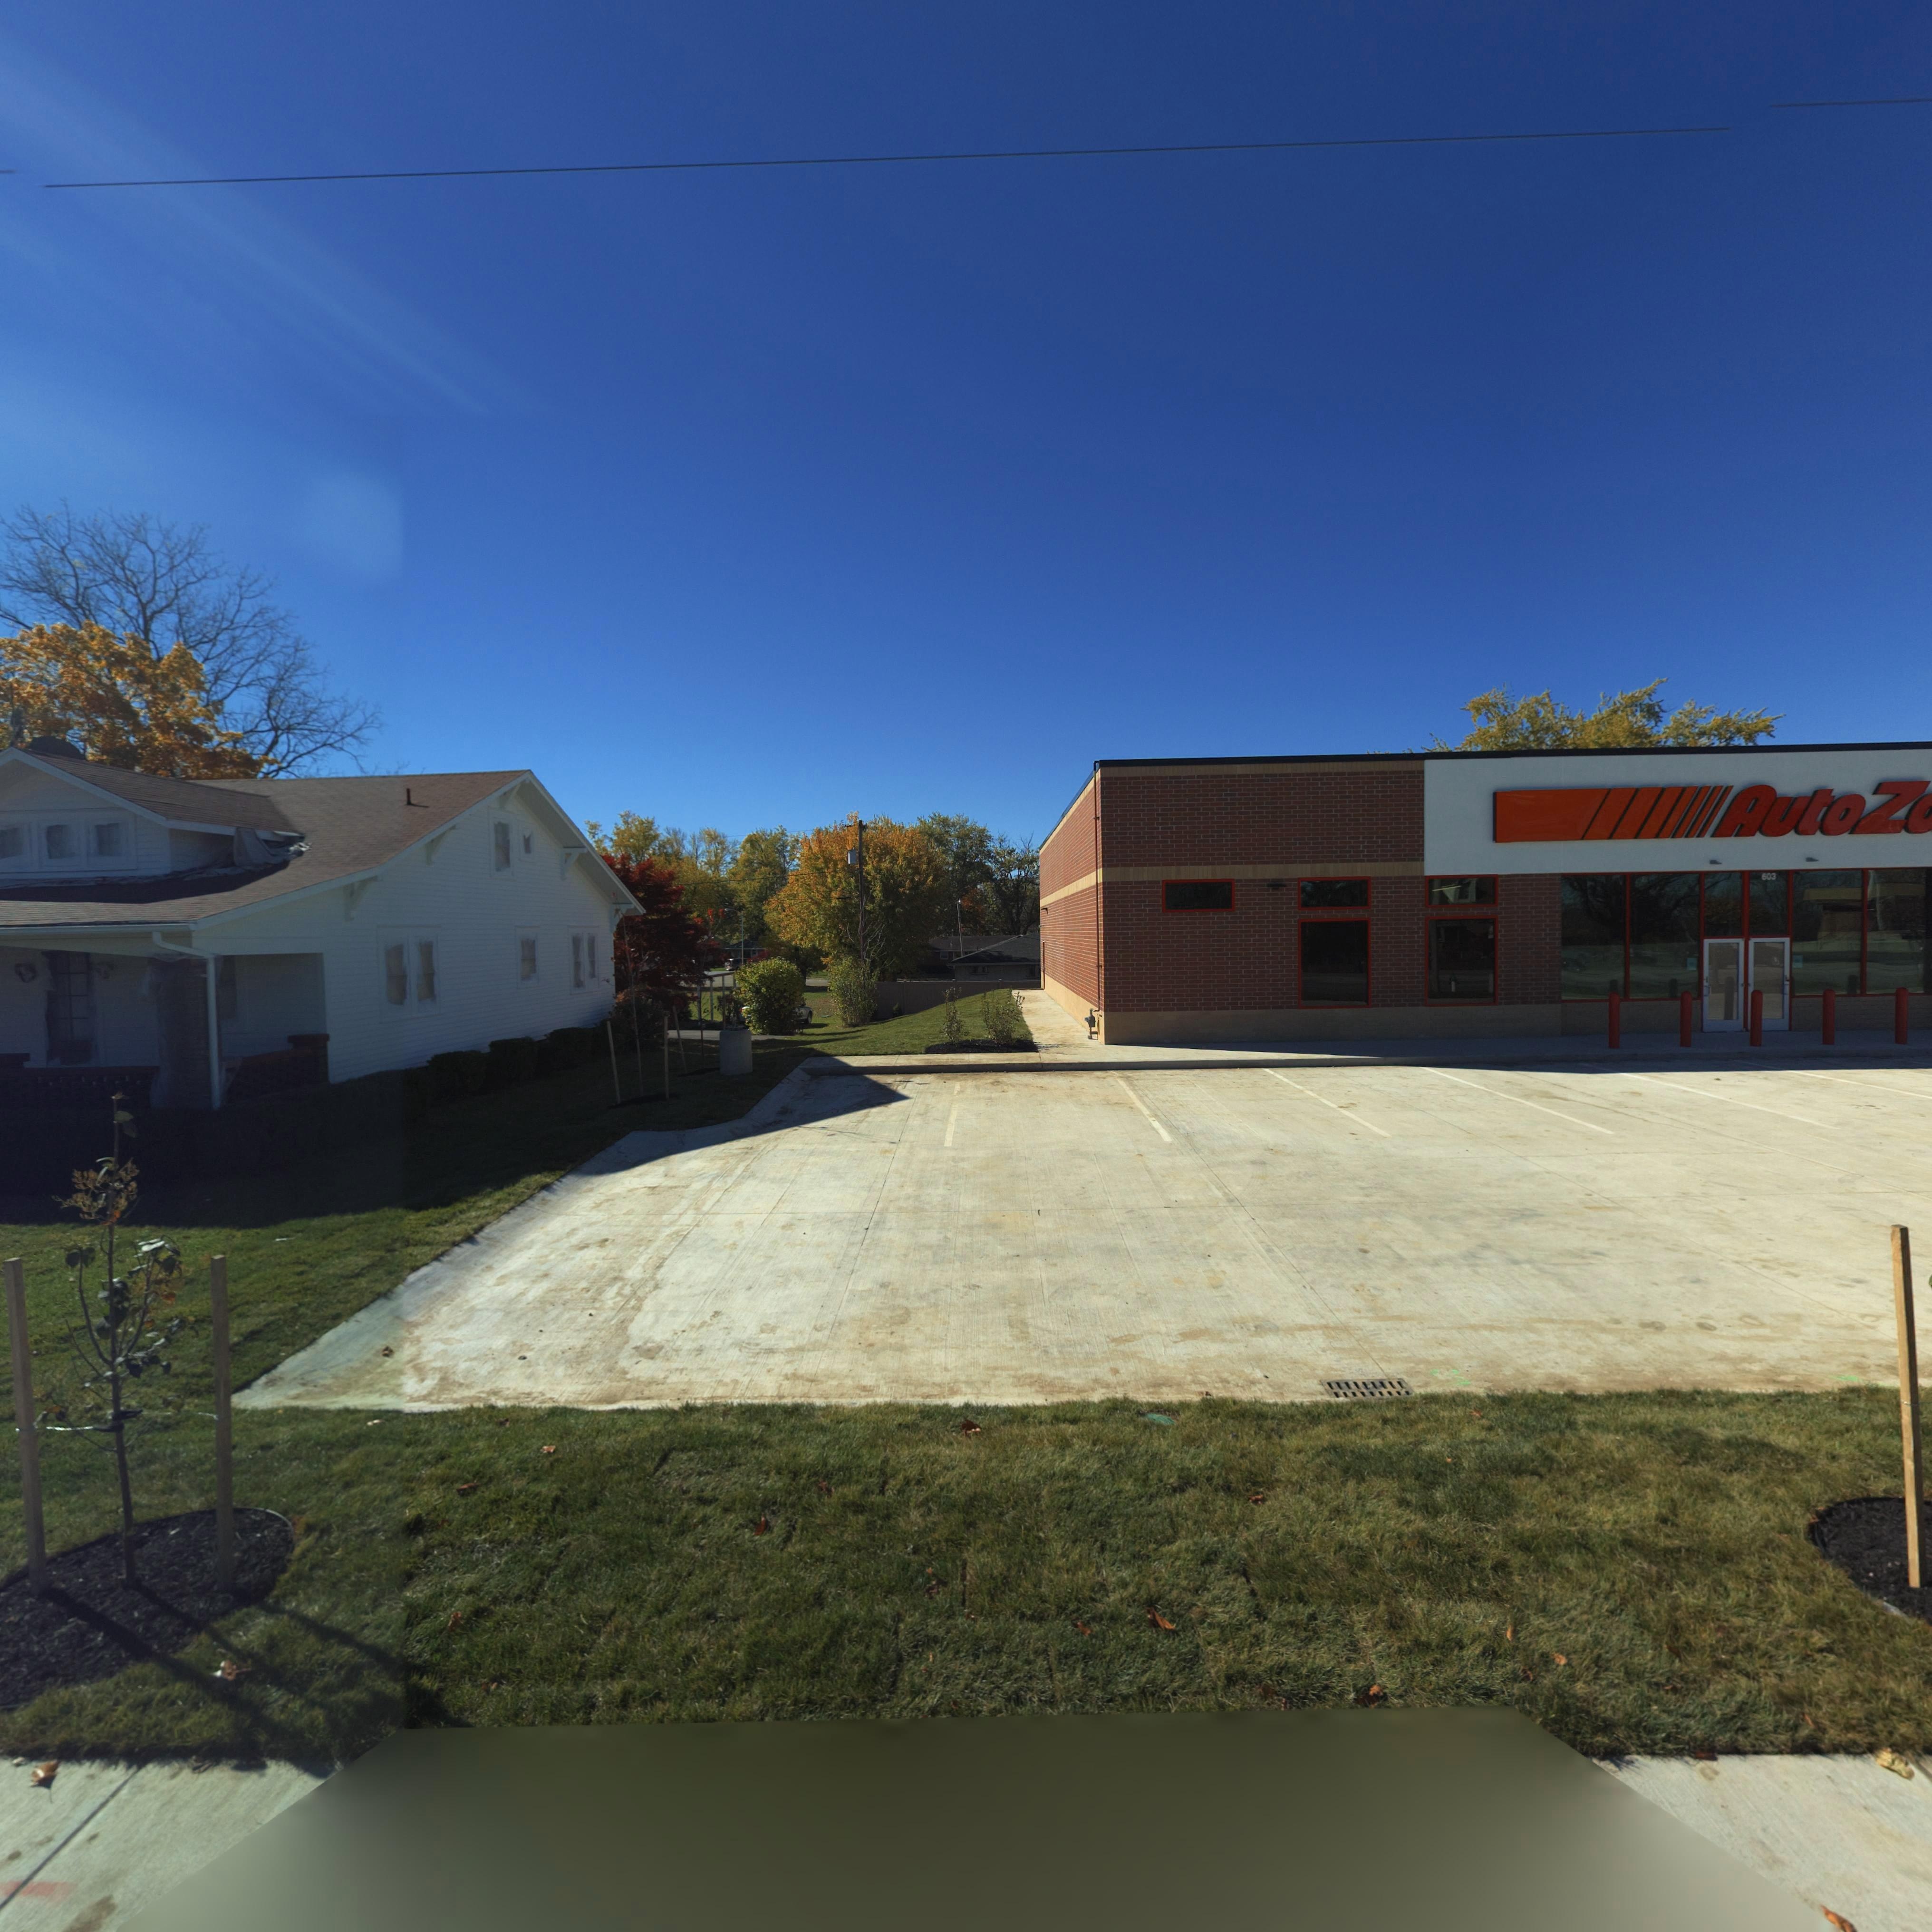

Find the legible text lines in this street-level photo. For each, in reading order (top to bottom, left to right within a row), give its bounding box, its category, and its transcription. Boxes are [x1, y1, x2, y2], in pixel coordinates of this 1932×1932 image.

[1708, 780, 1932, 839] BusinessName: AutoZ
[1760, 871, 1777, 882] StreetNumber: 603